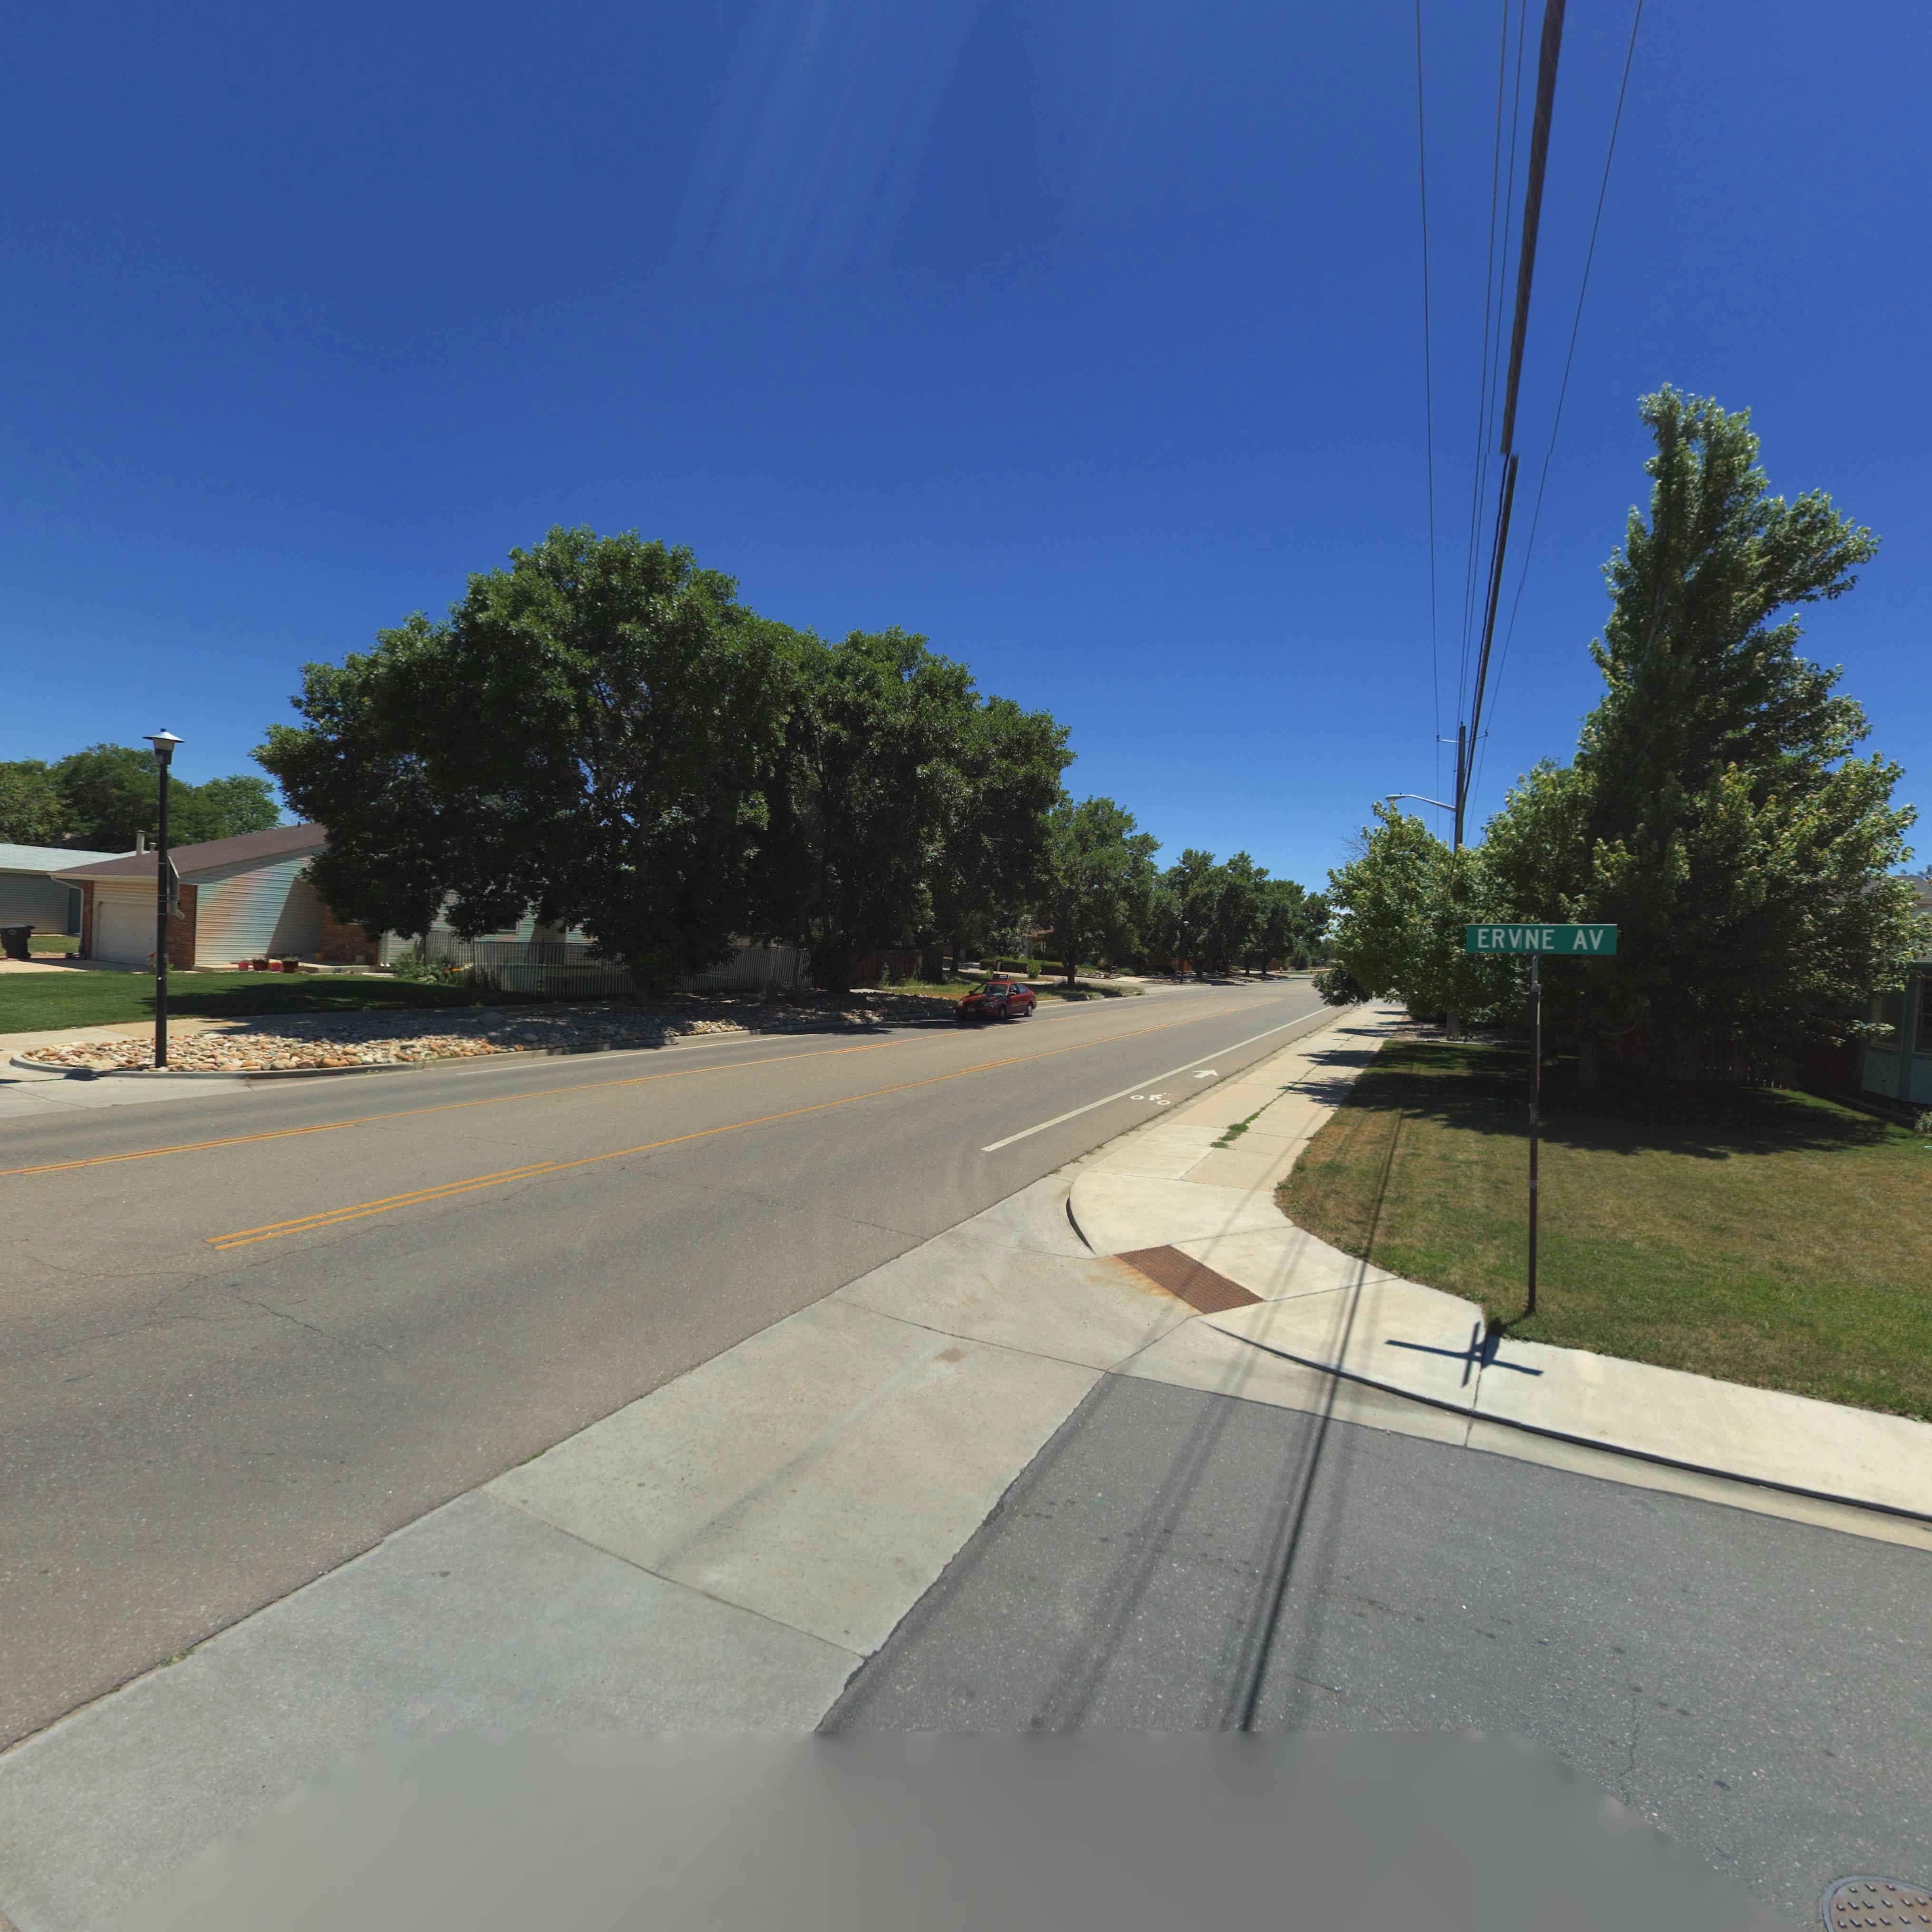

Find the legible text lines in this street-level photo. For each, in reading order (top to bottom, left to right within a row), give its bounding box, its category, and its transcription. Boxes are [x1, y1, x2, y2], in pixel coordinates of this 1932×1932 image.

[1476, 927, 1607, 950] StreetName: ERV*NE AV